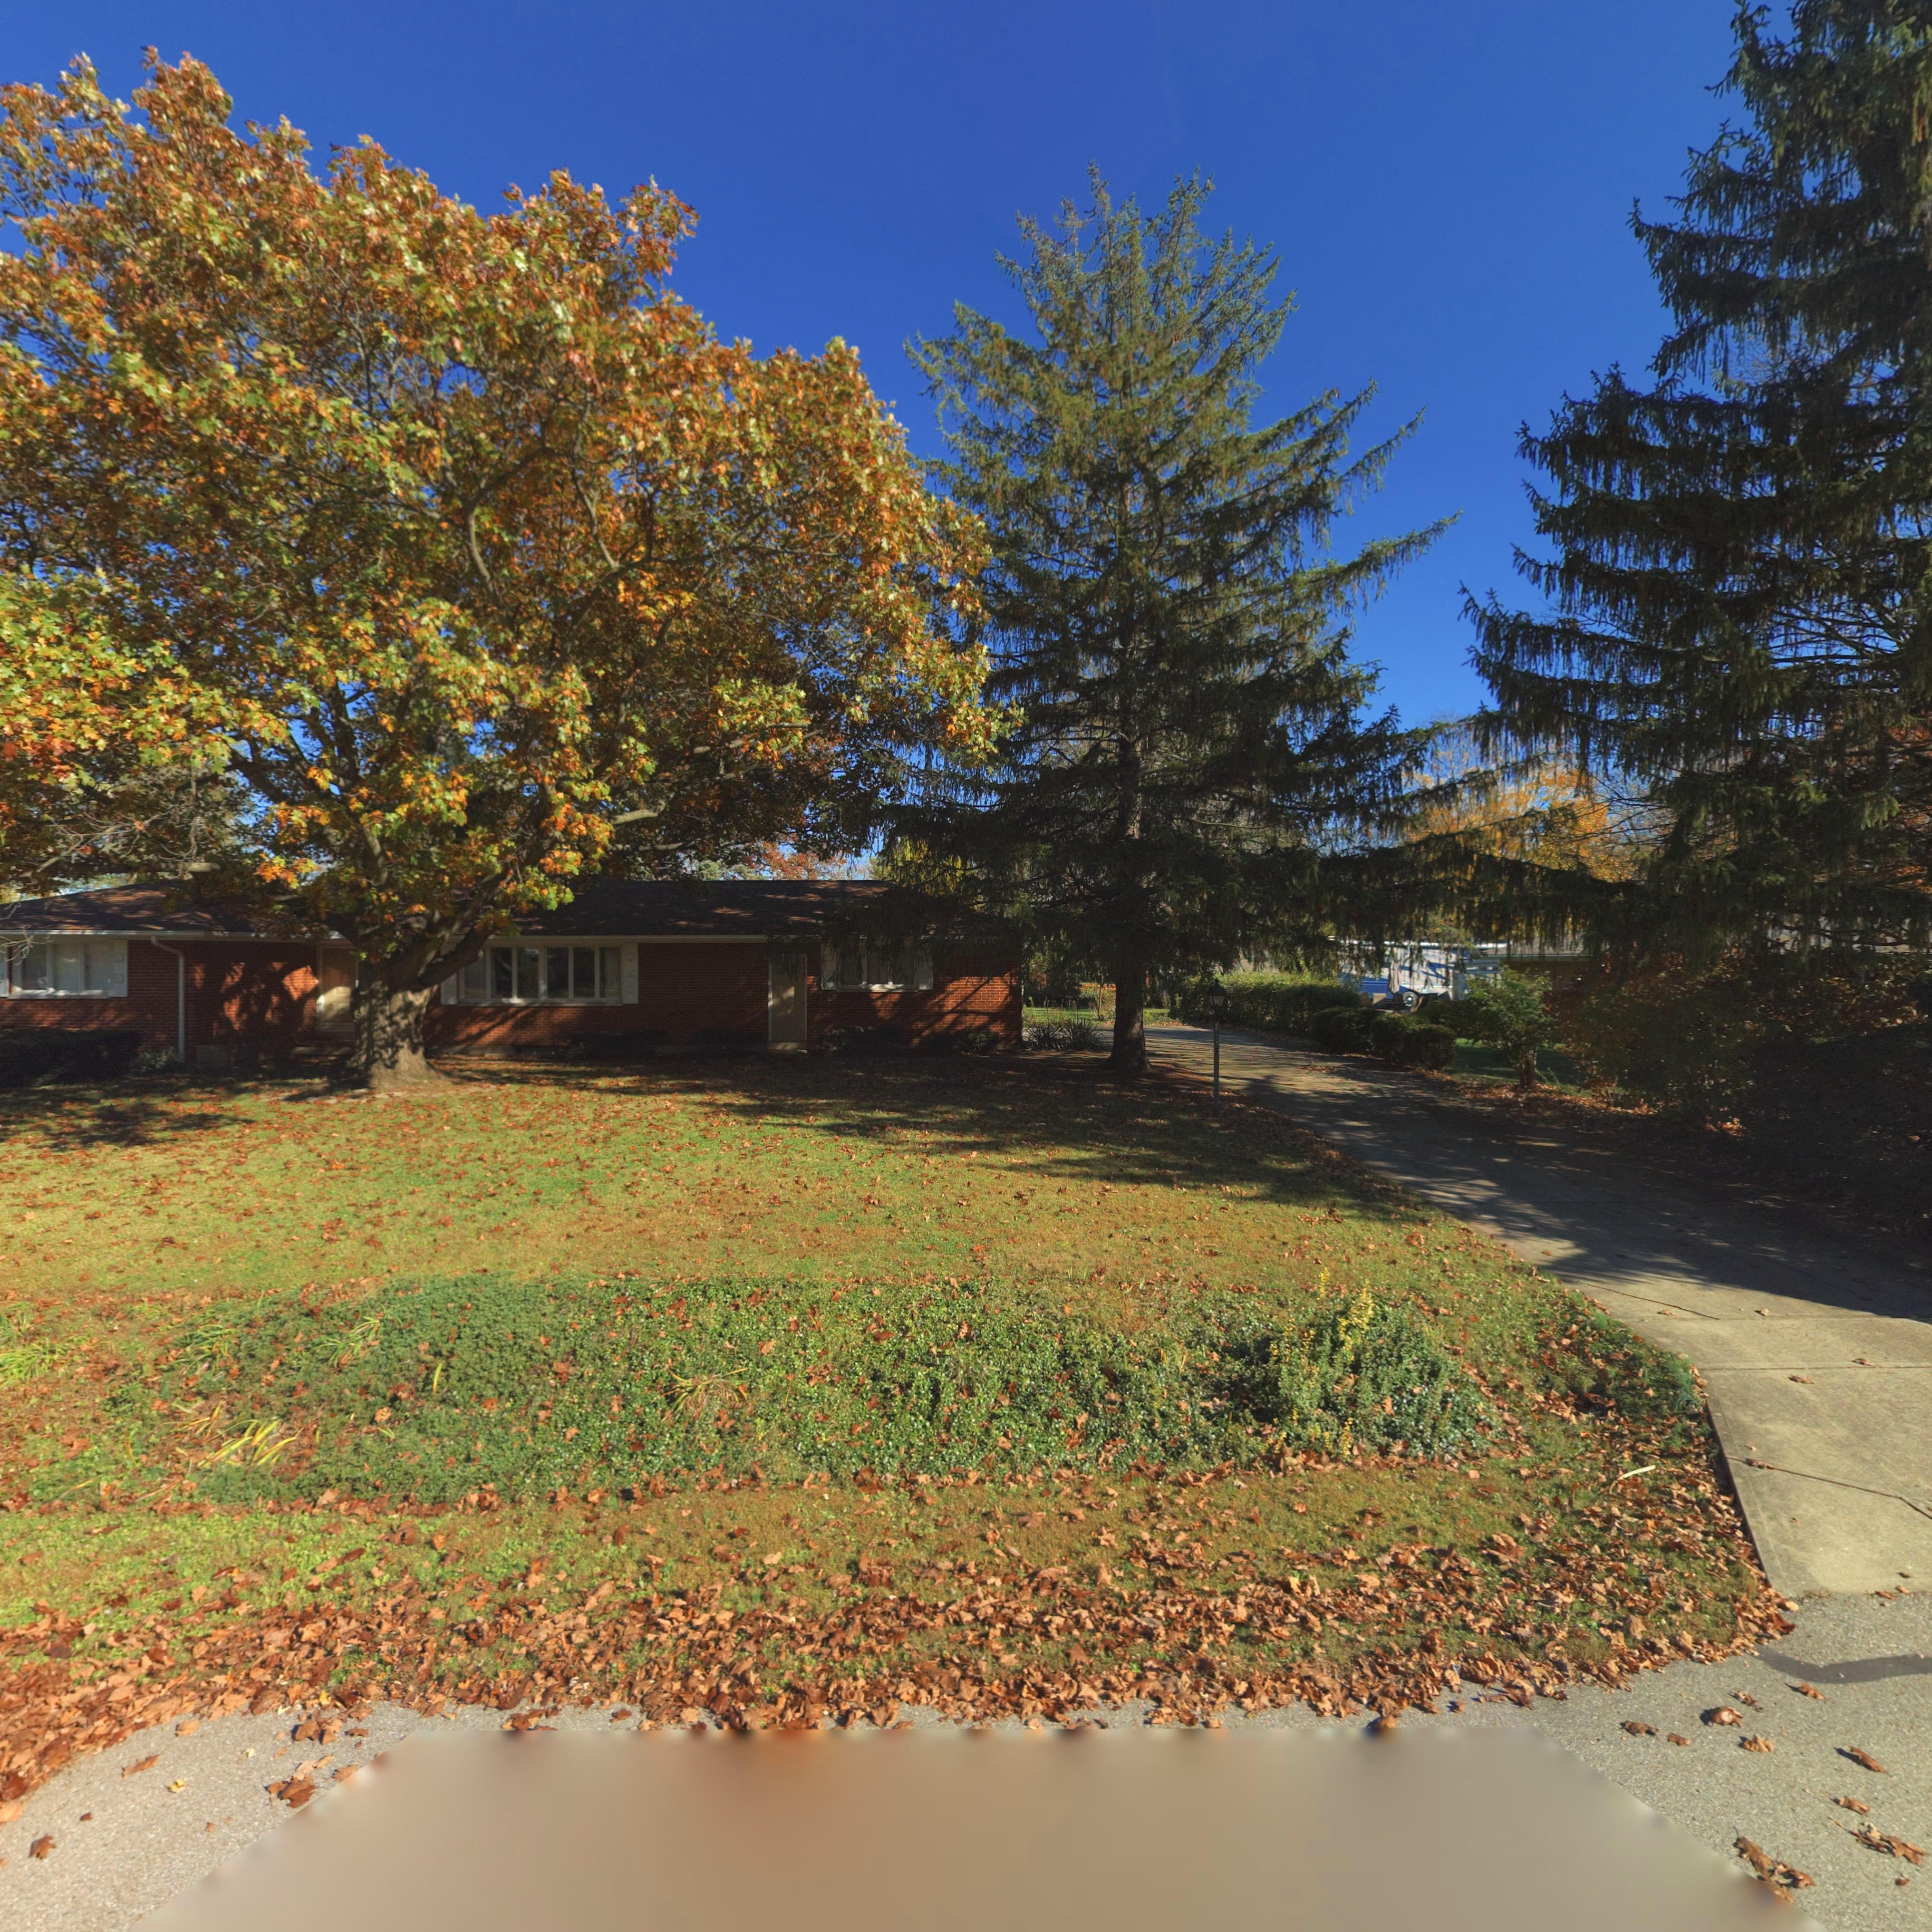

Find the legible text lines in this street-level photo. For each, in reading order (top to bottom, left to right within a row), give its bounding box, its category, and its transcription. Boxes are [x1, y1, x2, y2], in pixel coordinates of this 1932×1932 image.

[1215, 1023, 1219, 1048] StreetNumber: 6***